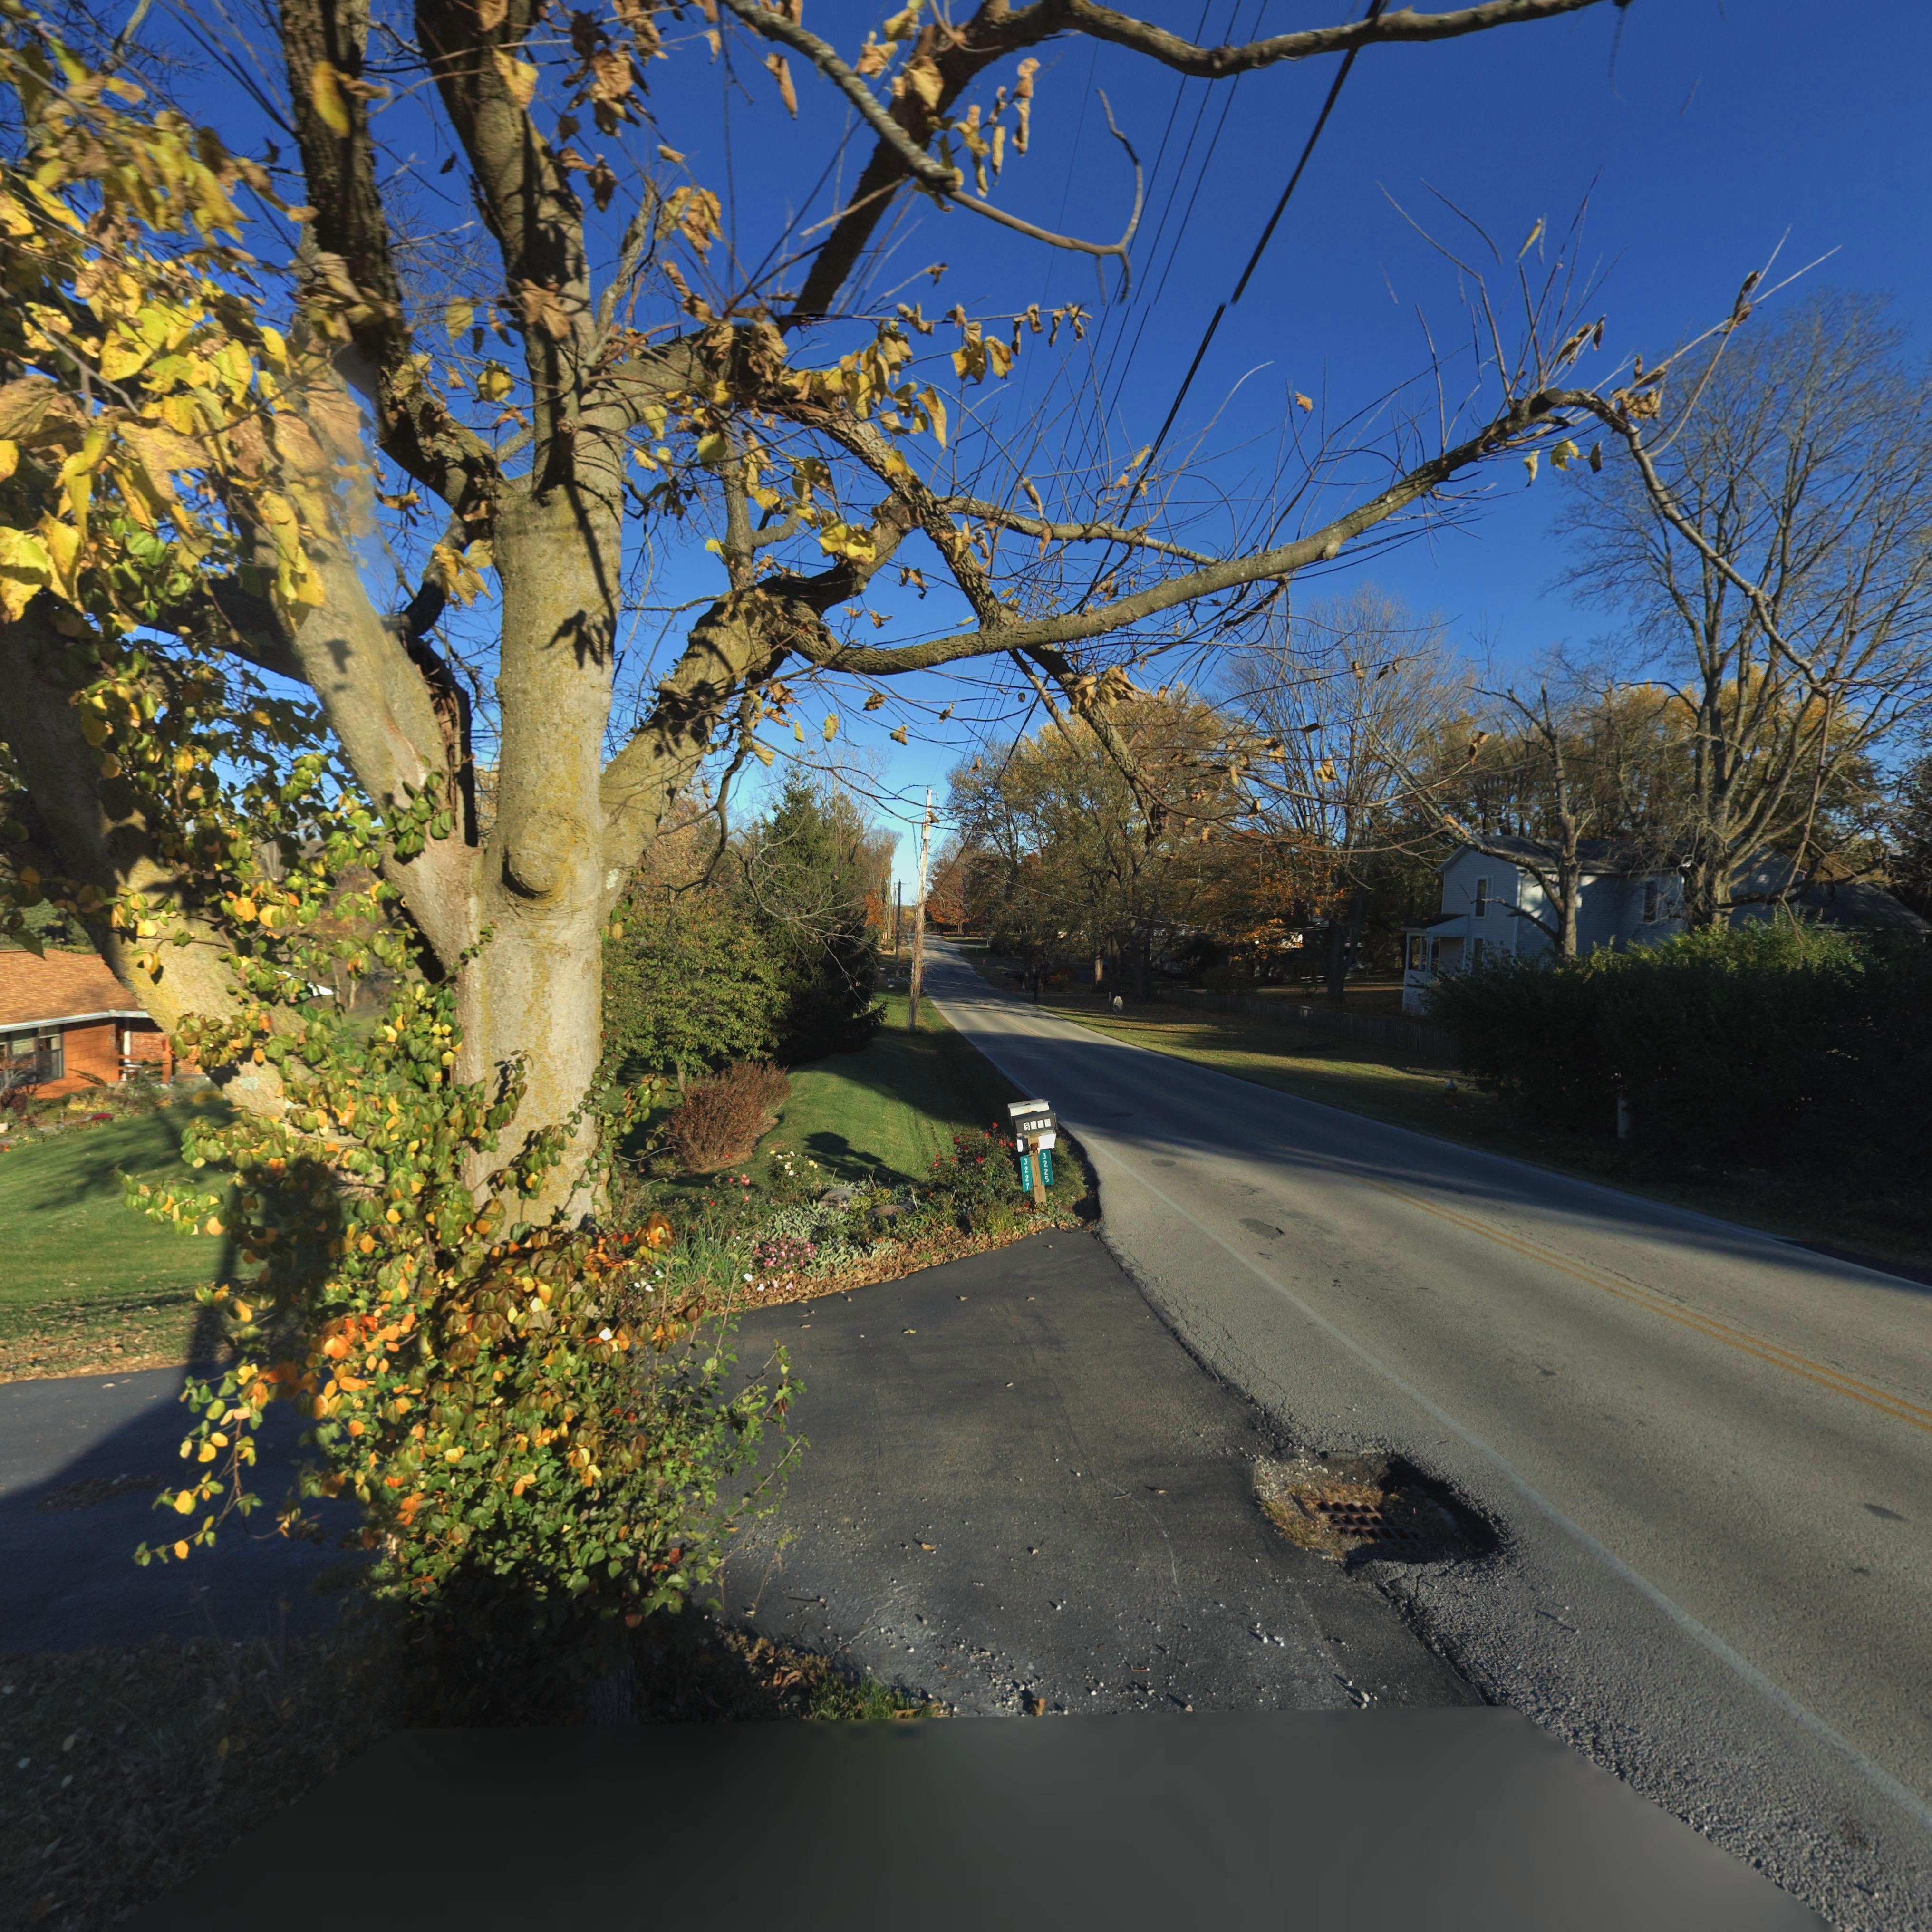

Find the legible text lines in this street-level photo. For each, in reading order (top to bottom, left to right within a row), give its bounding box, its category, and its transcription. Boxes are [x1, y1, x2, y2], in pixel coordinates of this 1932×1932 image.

[1023, 1118, 1052, 1131] StreetNumber: 3***
[1023, 1157, 1031, 1191] StreetNumber: 3227
[1041, 1151, 1051, 1184] StreetNumber: 3225